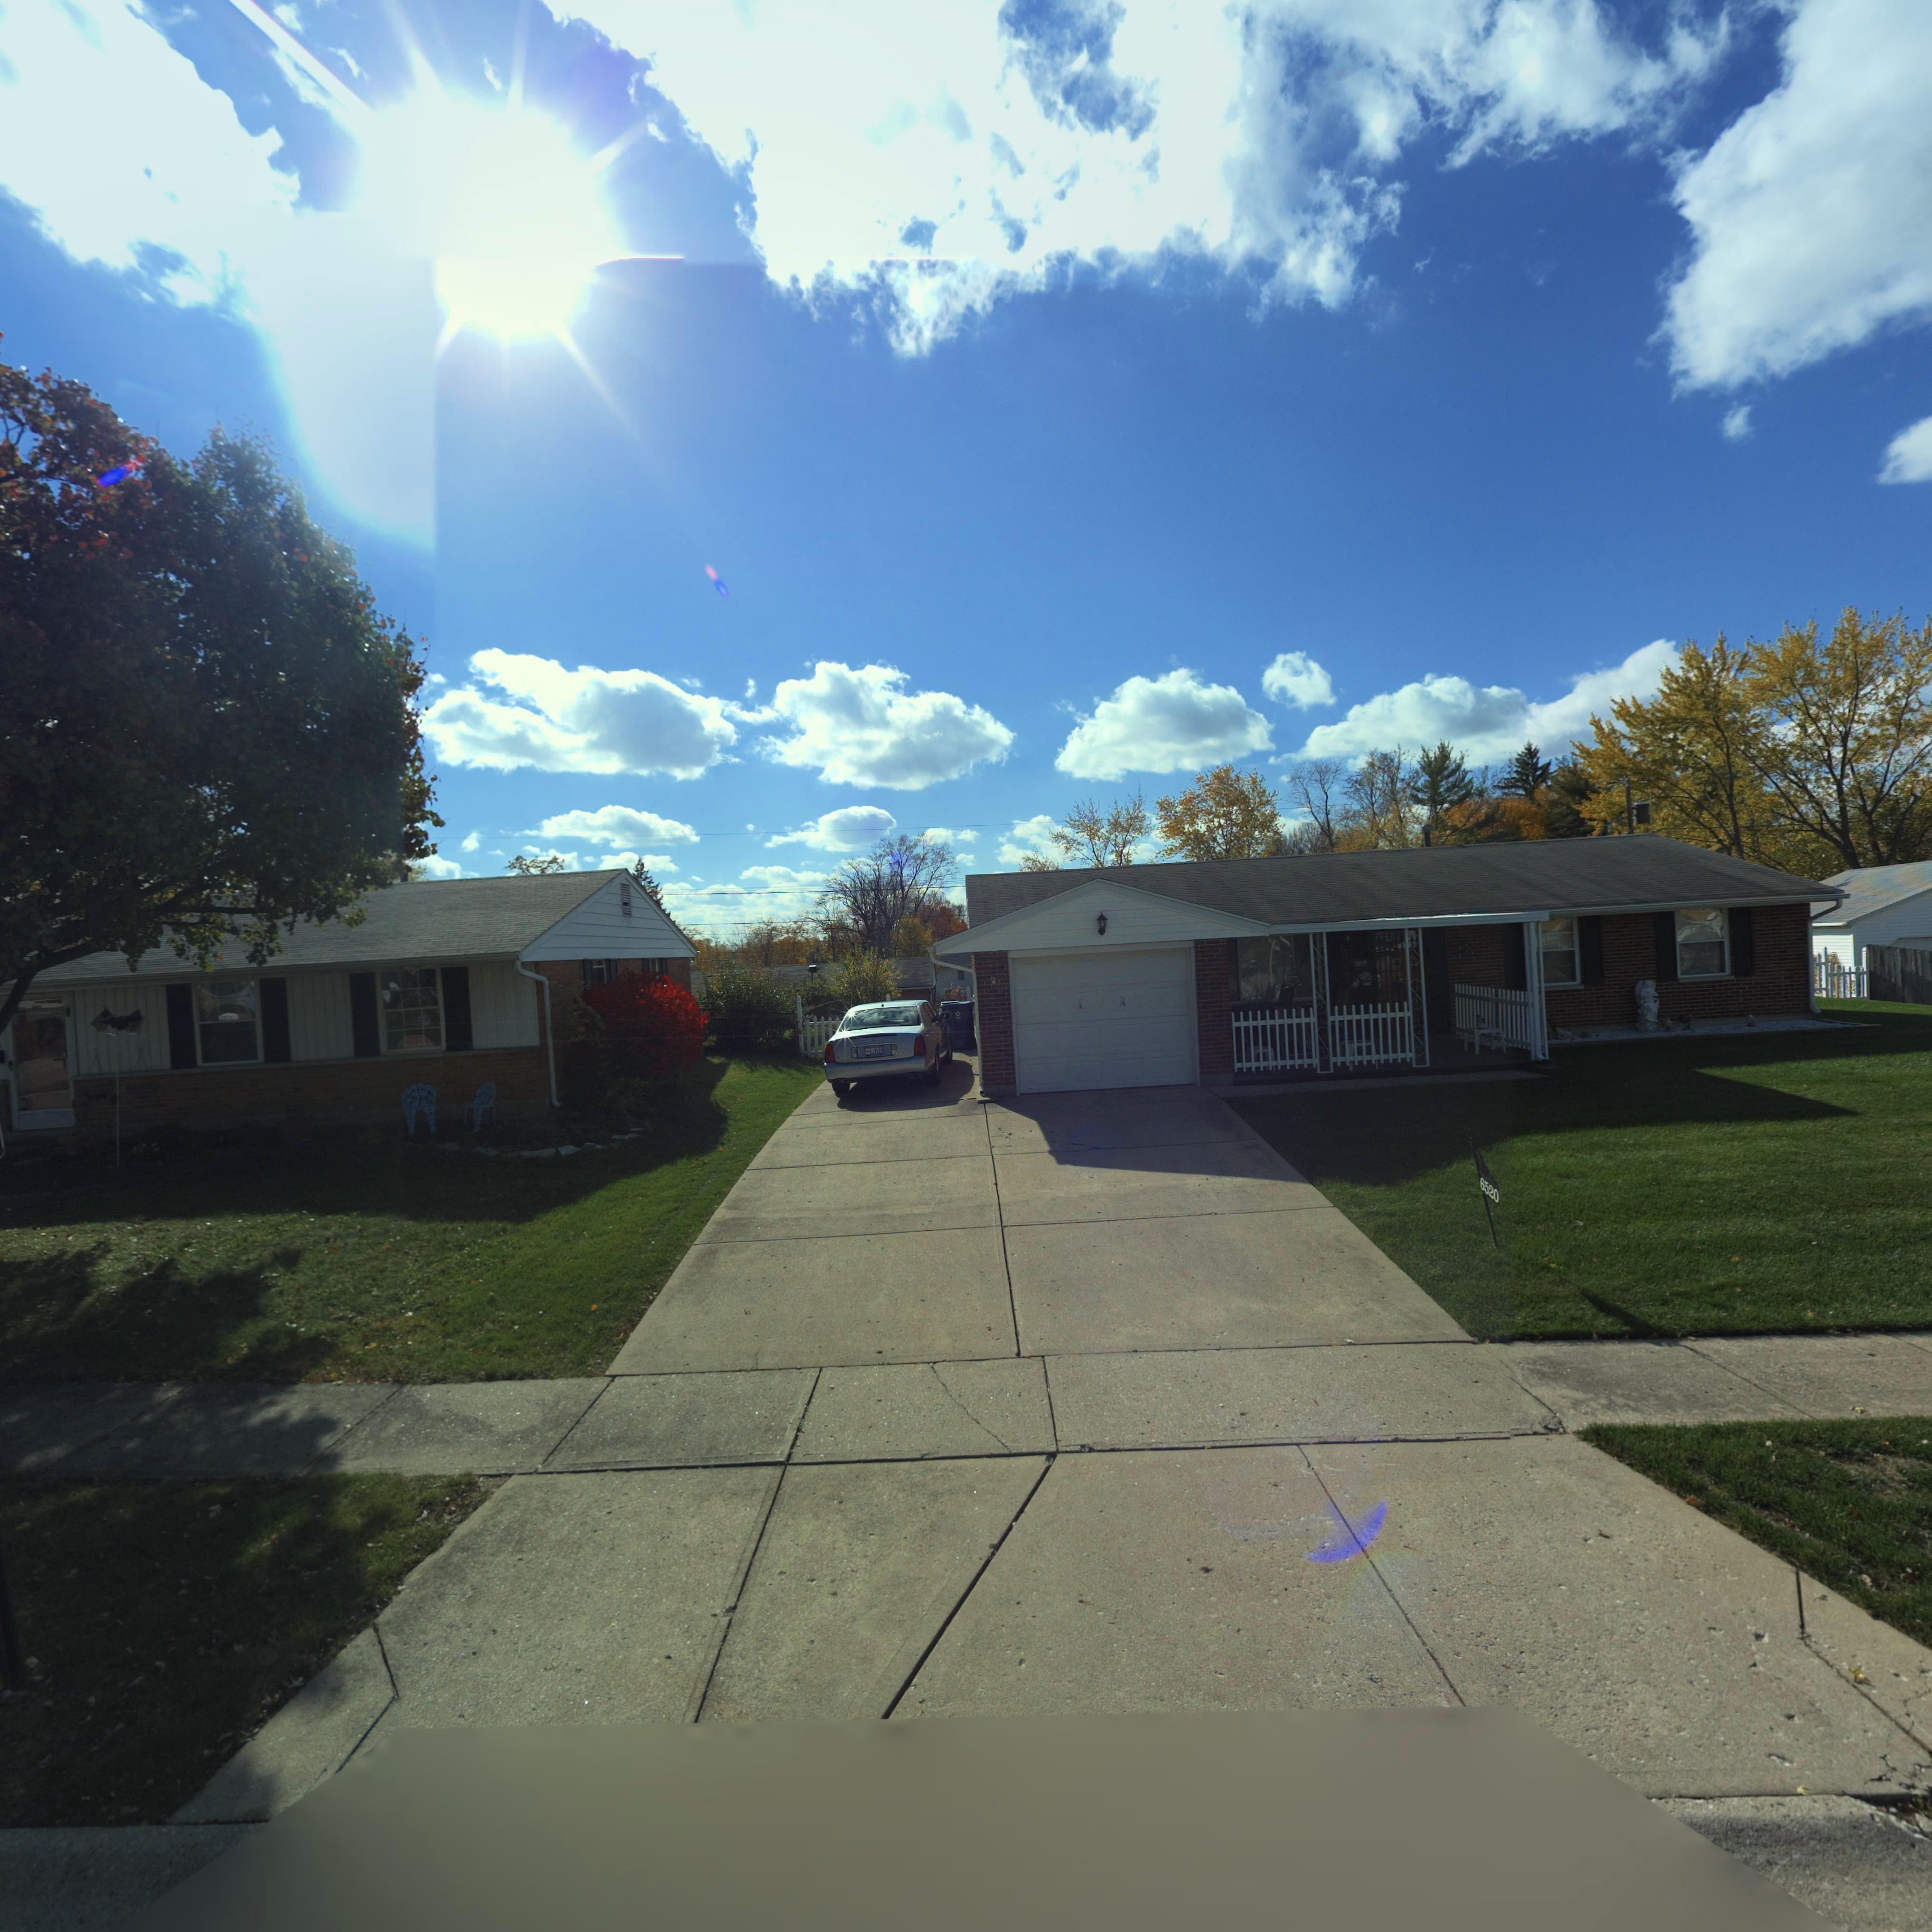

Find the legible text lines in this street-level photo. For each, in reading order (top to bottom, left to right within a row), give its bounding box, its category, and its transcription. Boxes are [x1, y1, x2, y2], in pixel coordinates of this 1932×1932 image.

[1480, 1176, 1499, 1204] StreetNumber: 6520